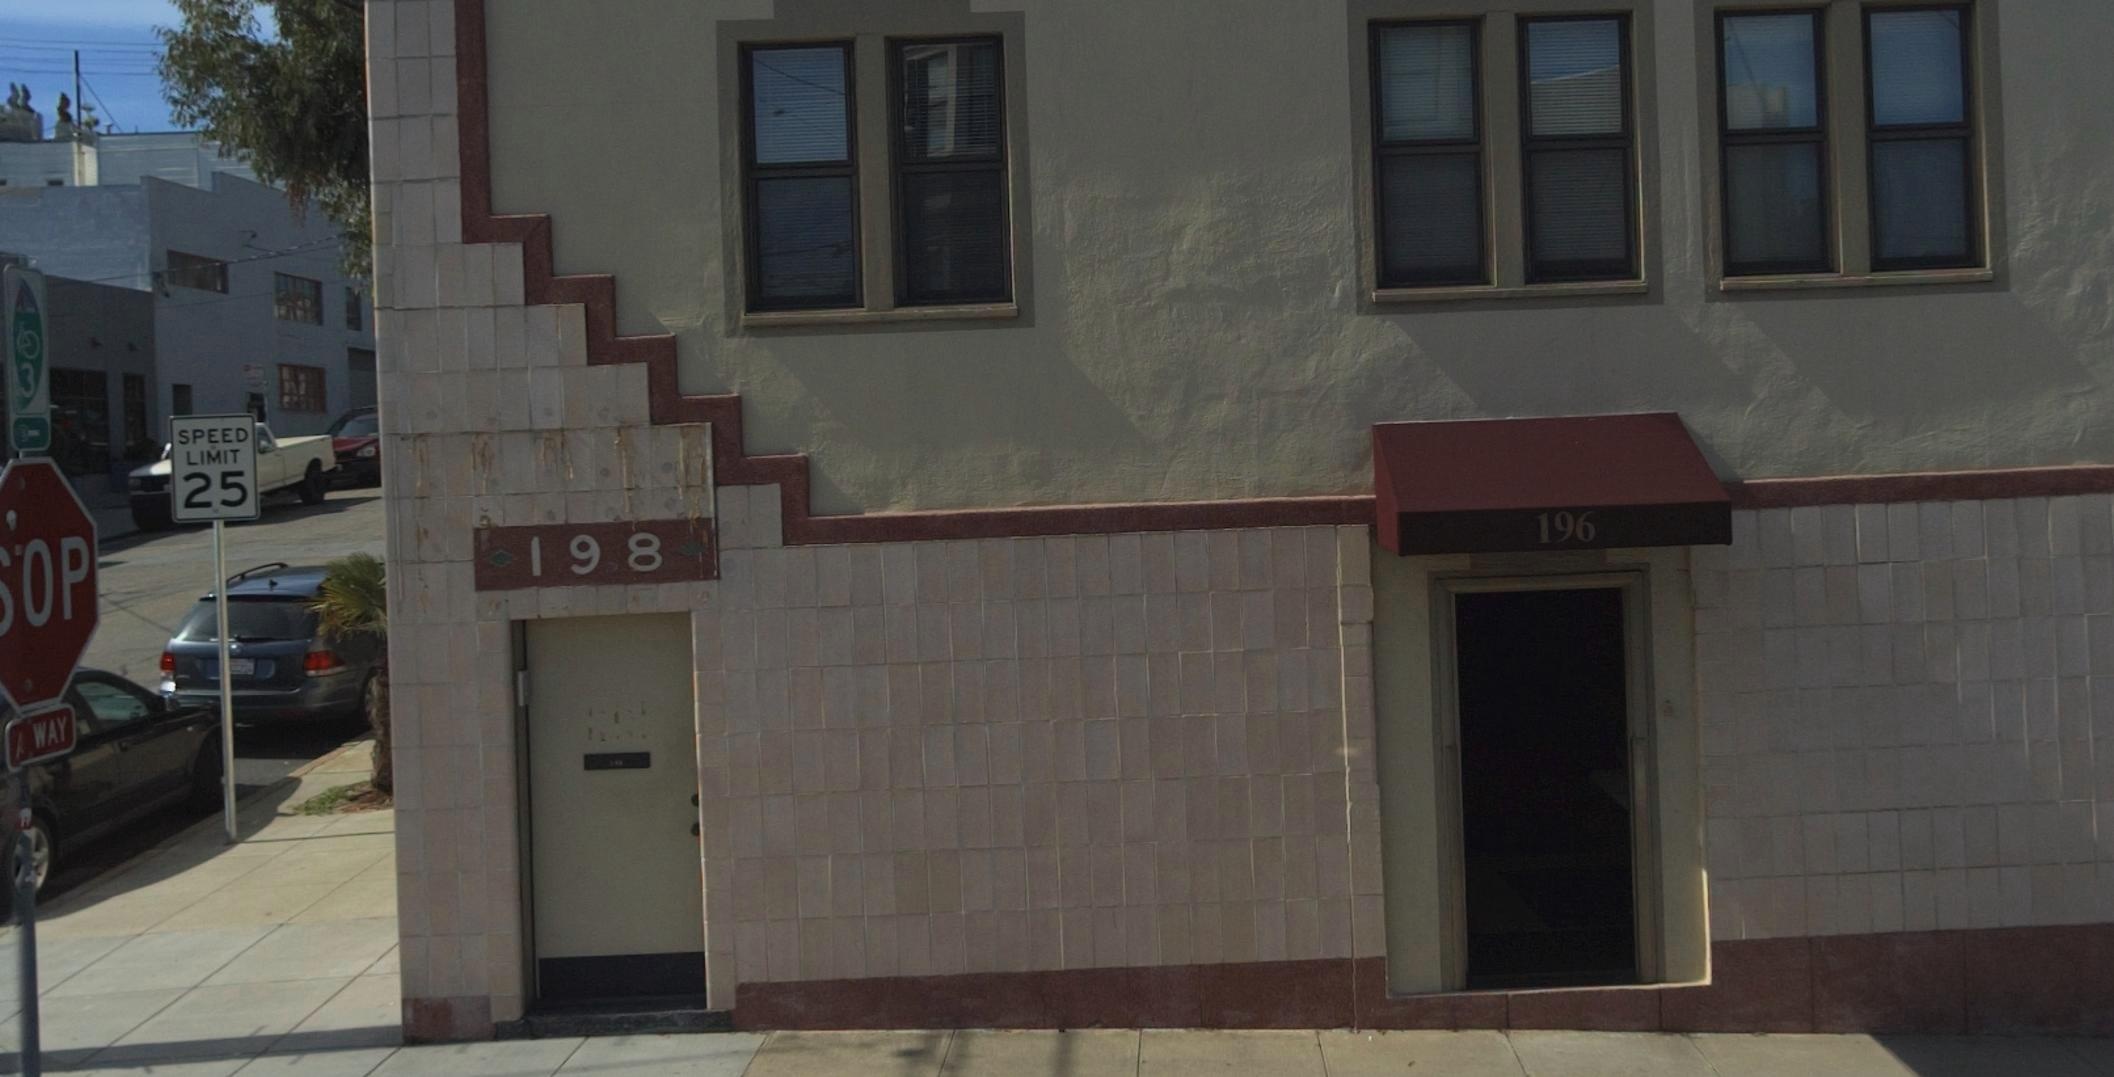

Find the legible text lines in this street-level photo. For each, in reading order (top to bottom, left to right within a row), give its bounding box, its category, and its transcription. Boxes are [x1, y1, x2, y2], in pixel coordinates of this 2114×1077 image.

[18, 363, 37, 402] None: 3
[177, 426, 249, 445] None: SPEED
[185, 447, 241, 467] None: LIMIT
[181, 469, 249, 510] None: 25
[1534, 508, 1597, 546] StreetNumber: 196
[526, 530, 665, 579] StreetNumber: 198
[18, 533, 91, 632] None: OP
[28, 712, 68, 753] None: WAY